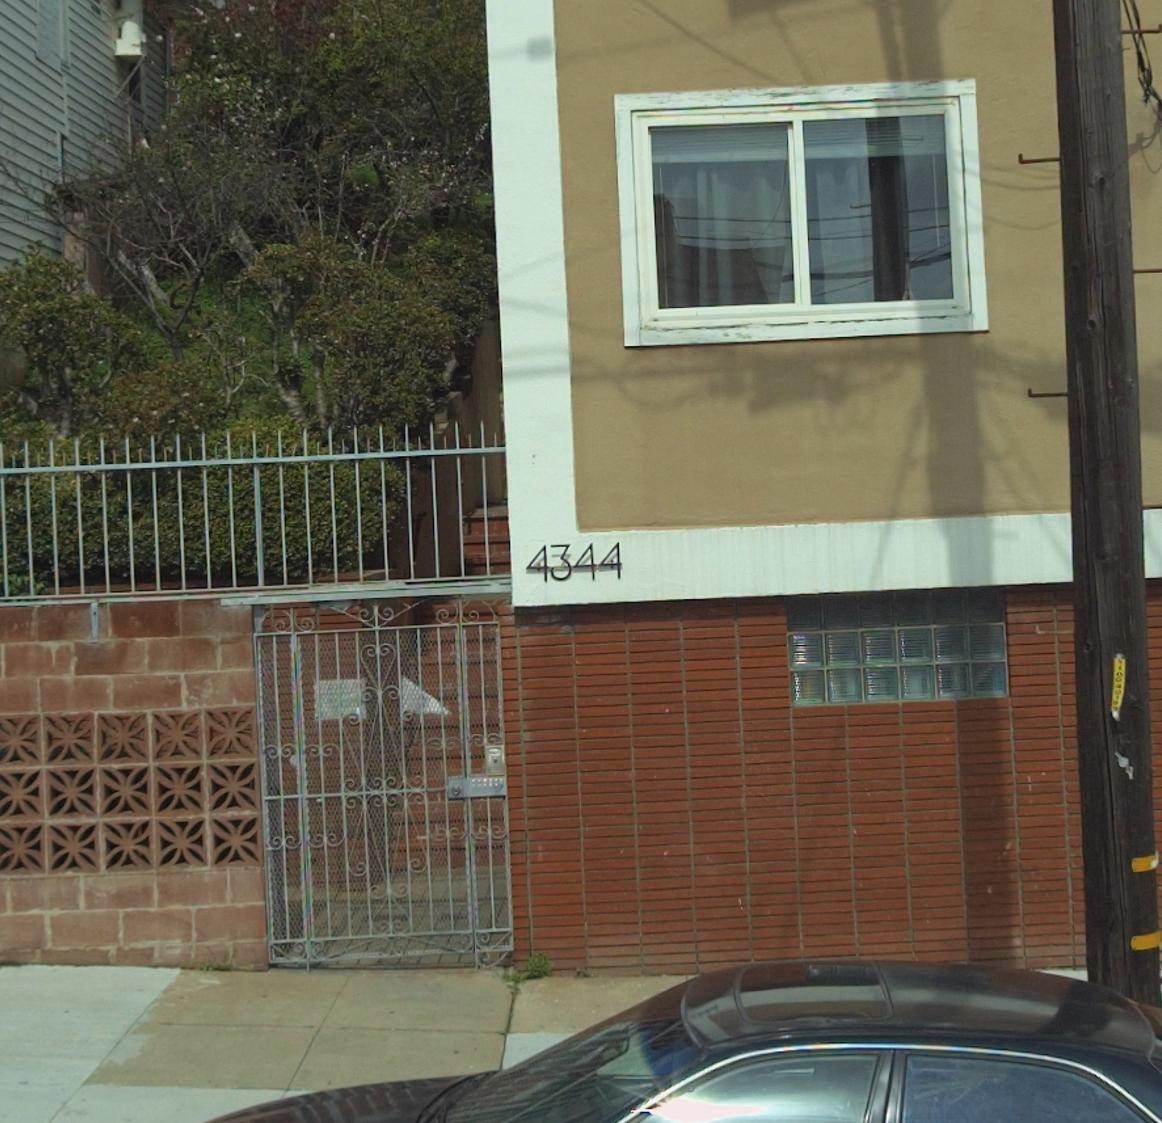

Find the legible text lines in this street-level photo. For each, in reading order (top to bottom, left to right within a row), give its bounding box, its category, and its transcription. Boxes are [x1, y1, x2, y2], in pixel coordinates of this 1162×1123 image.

[524, 540, 623, 585] StreetNumber: 4344